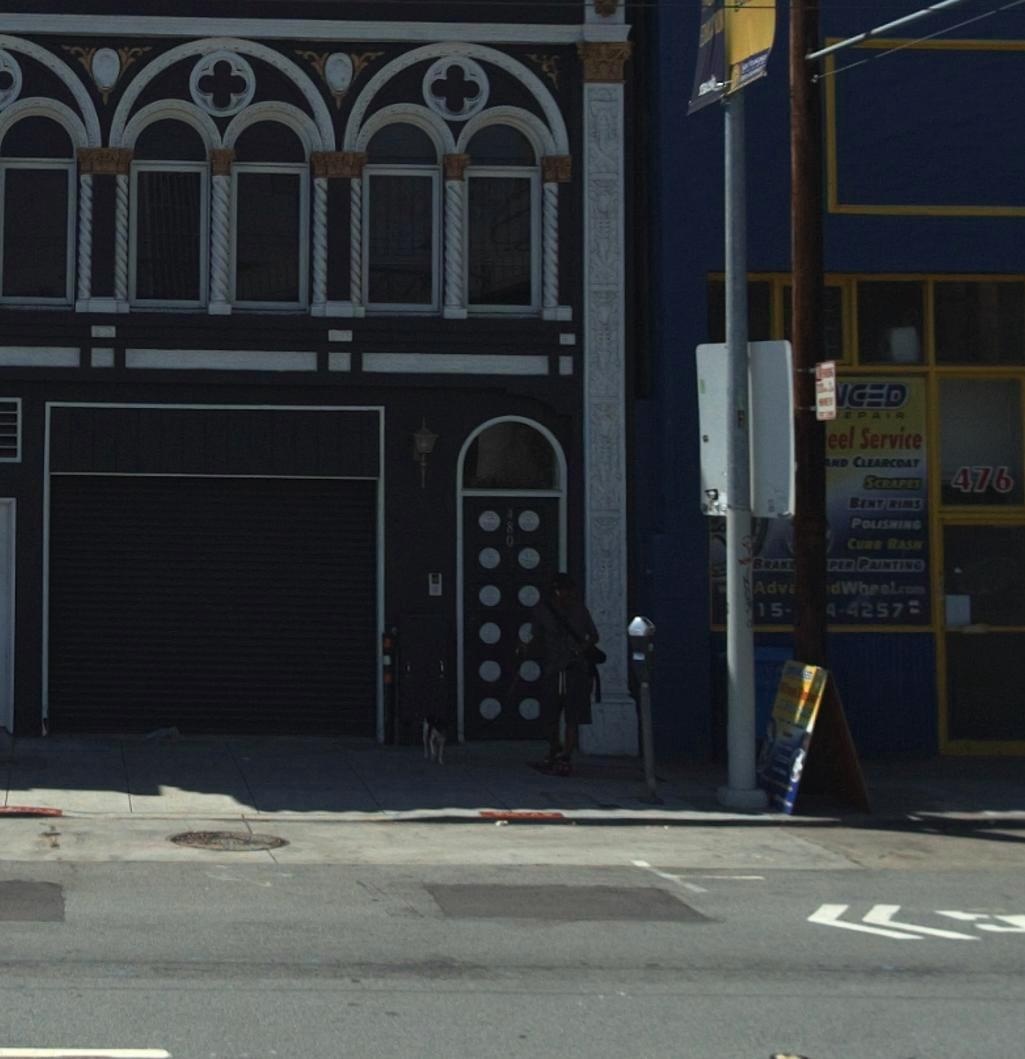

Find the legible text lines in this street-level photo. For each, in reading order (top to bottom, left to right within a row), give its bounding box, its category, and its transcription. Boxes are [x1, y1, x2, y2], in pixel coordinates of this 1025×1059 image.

[827, 425, 924, 450] None: eel Service
[850, 455, 923, 468] None: CLEARCOAT
[950, 466, 1014, 494] StreetNumber: 476
[847, 496, 886, 511] None: BENT
[505, 508, 515, 548] StreetNumber: 480
[752, 558, 790, 570] None: BRAK
[856, 556, 924, 572] None: PAINTING
[753, 579, 788, 594] None: Adv
[839, 580, 925, 595] None: Wheel.com
[758, 601, 784, 618] None: 15
[846, 601, 905, 618] None: *257